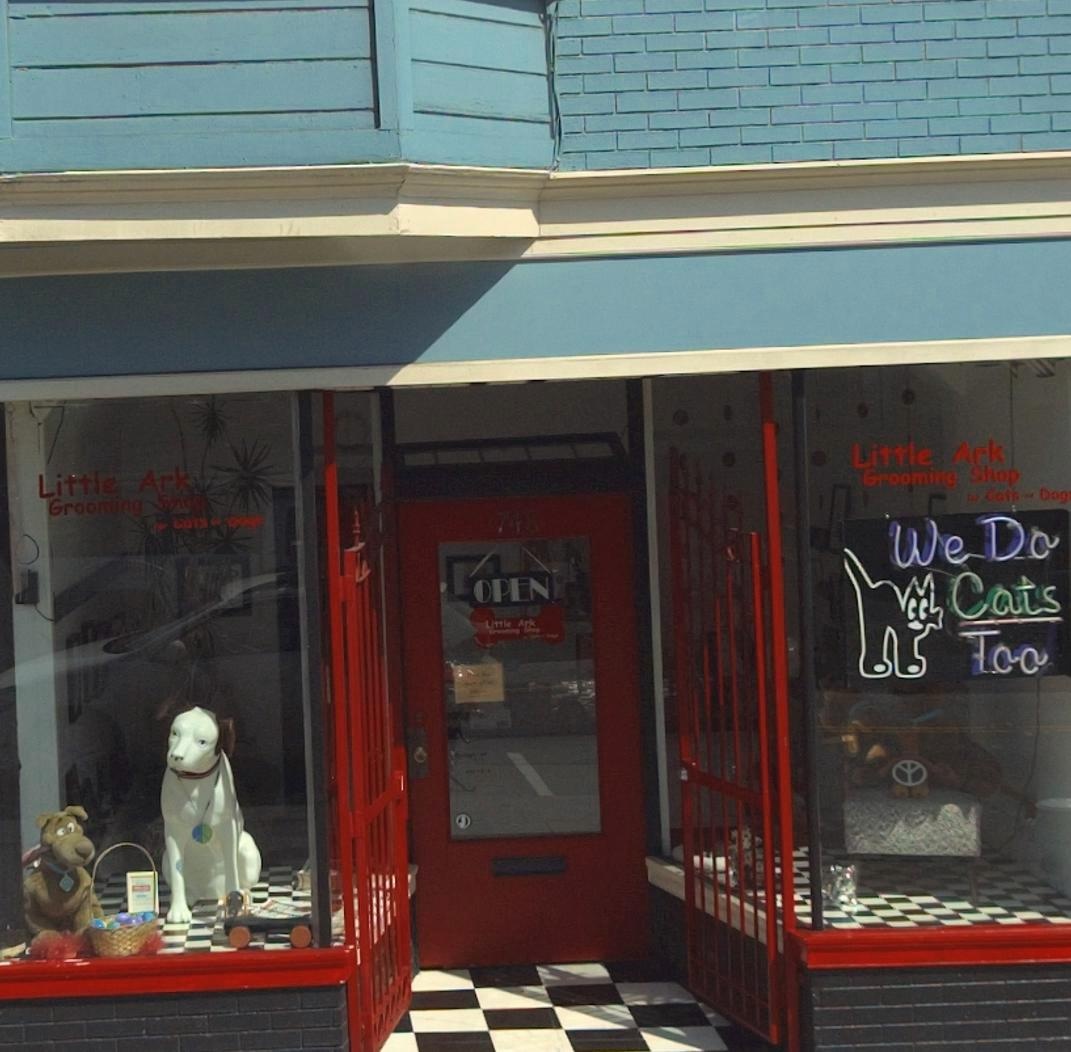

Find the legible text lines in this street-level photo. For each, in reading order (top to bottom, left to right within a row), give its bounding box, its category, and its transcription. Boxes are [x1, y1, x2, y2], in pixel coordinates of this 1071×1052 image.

[850, 437, 1008, 470] BusinessName: Little Ark
[37, 464, 196, 500] BusinessName: Little Ark
[48, 492, 208, 518] None: Grooming Shop
[861, 463, 1026, 491] None: Grooming Shop
[985, 485, 1069, 506] None: Cats - Dogs
[171, 513, 267, 533] None: Cats - Dos
[495, 508, 544, 536] StreetNumber: 748
[888, 513, 1055, 569] None: We Do\
[472, 575, 552, 605] None: OPEN
[947, 569, 1063, 621] None: Cats
[484, 617, 537, 629] None: Little Ark
[955, 627, 1046, 677] None: Too